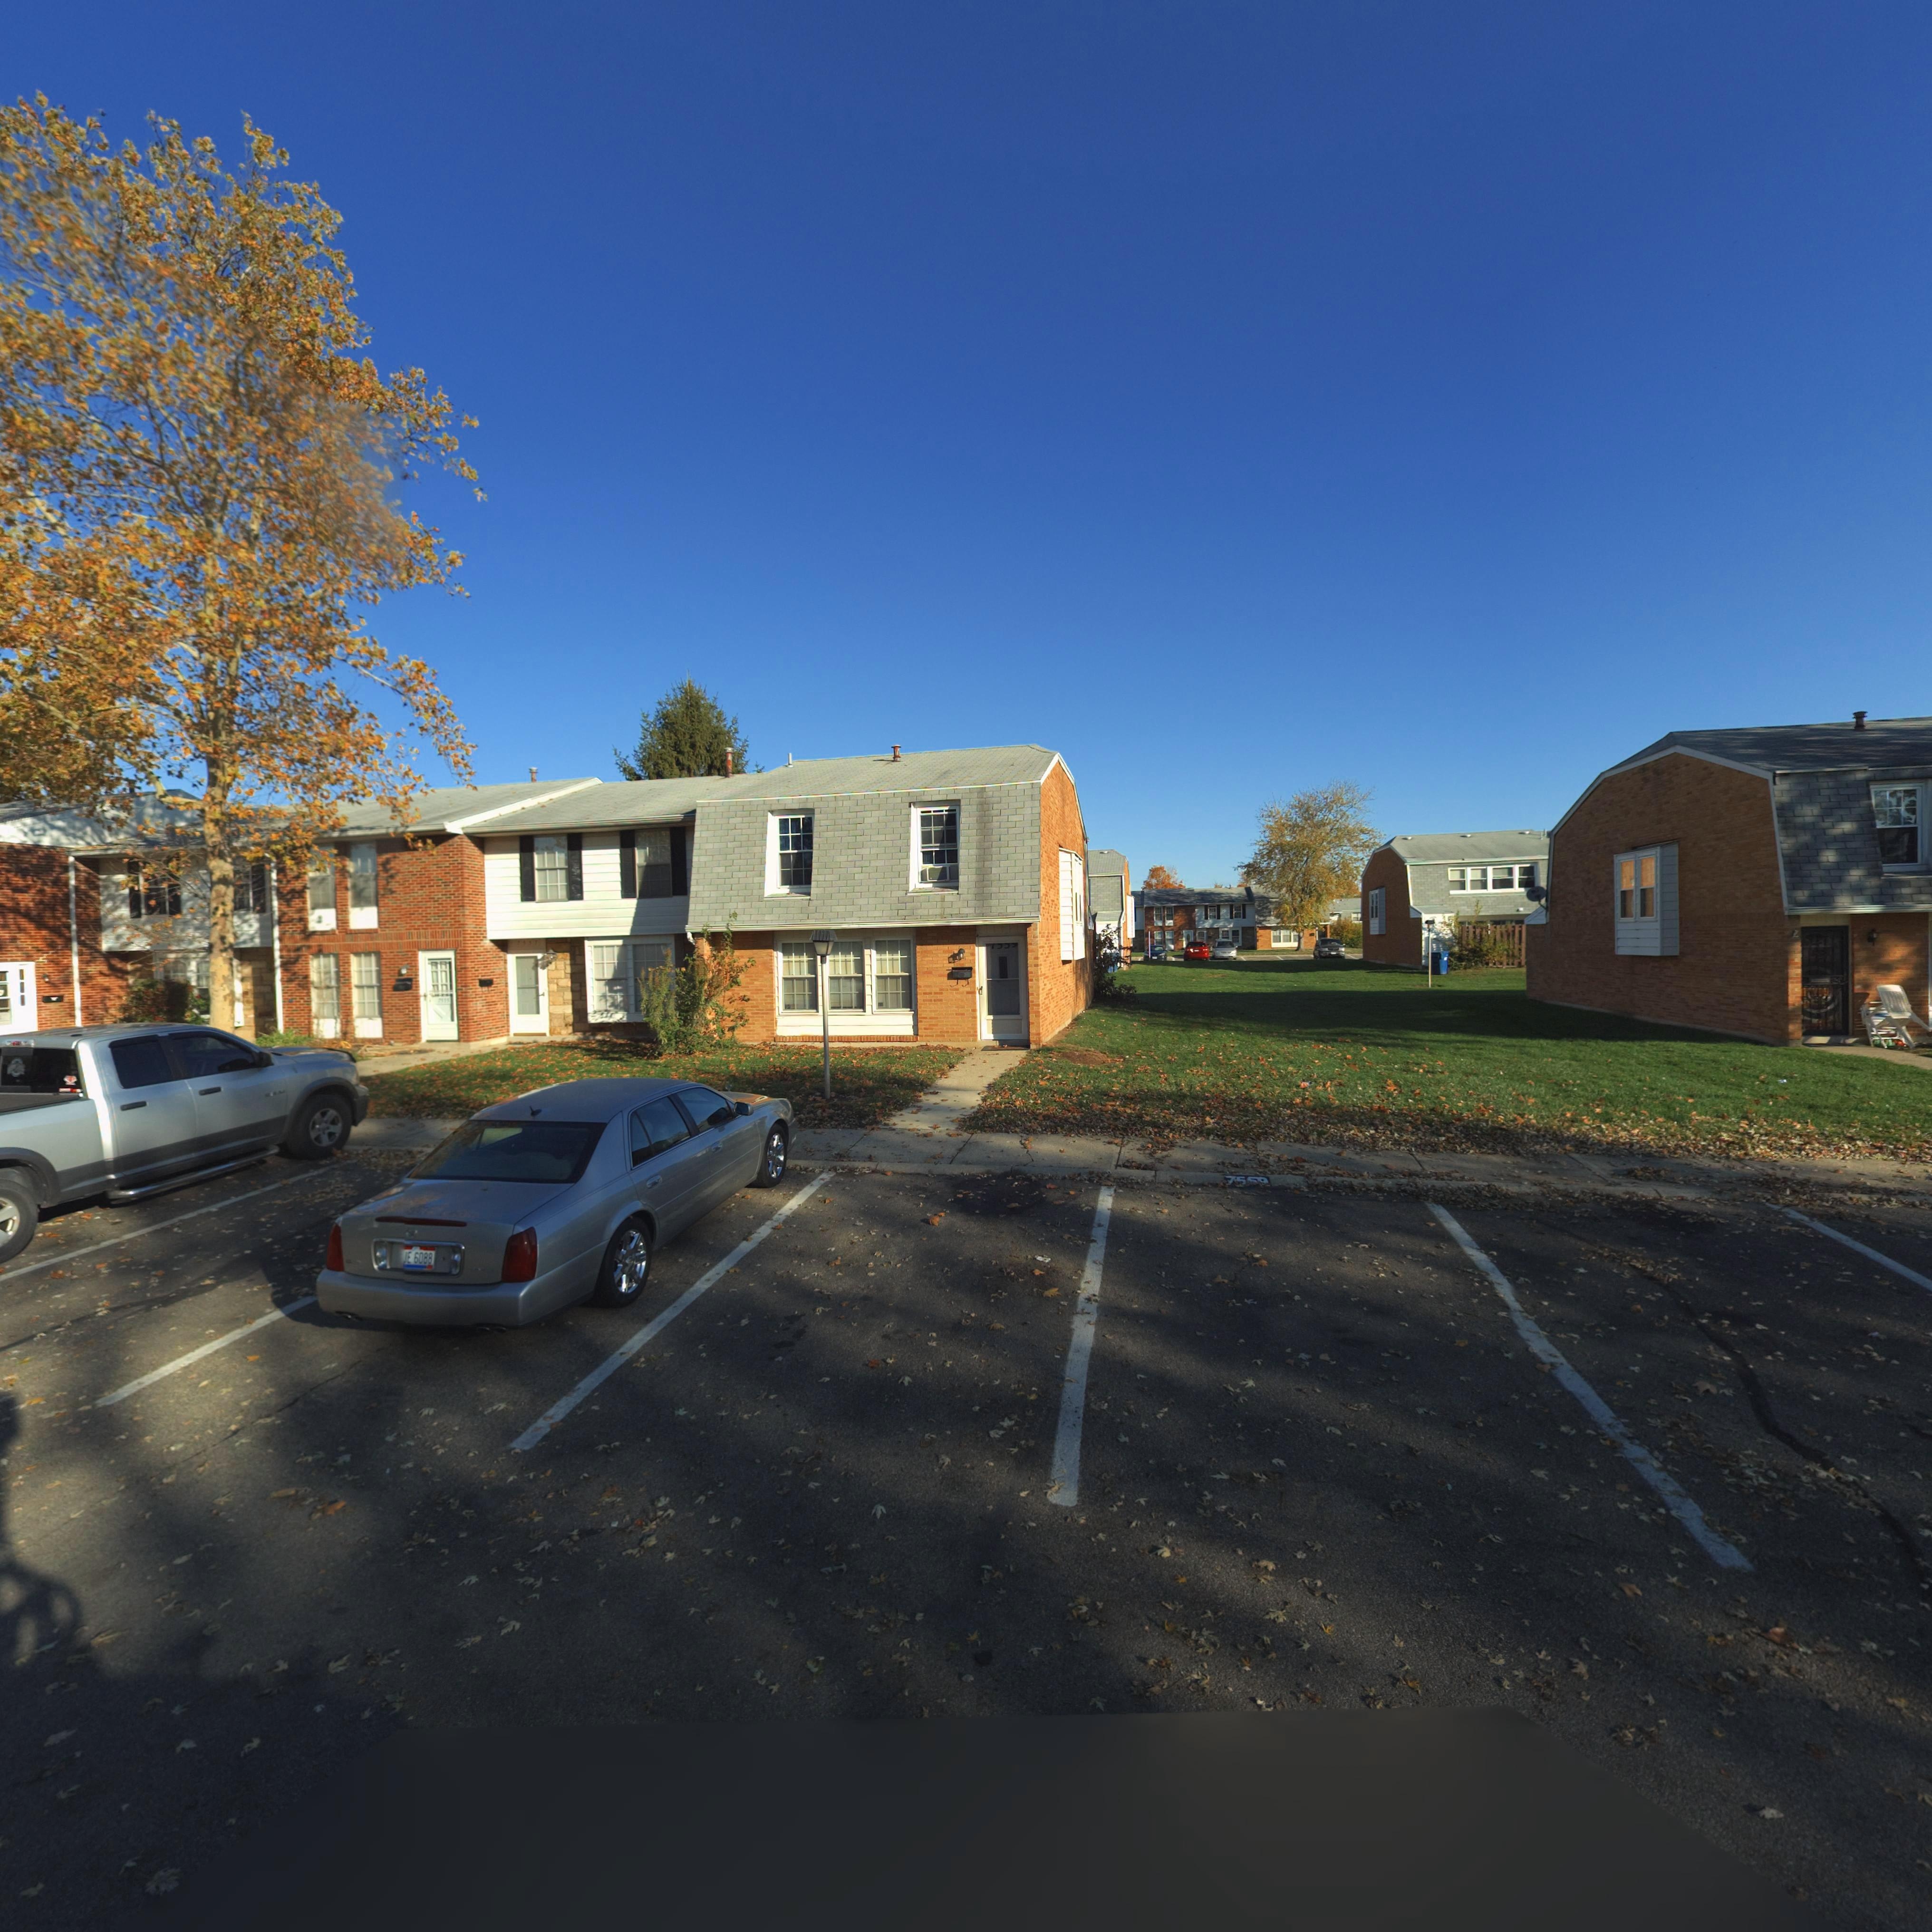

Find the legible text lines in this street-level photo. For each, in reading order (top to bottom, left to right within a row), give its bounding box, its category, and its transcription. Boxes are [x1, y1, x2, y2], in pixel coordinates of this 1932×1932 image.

[516, 940, 539, 946] StreetNumber: 7557
[437, 997, 450, 1003] StreetNumber: 7555
[1224, 1175, 1270, 1186] StreetNumber: 75*9